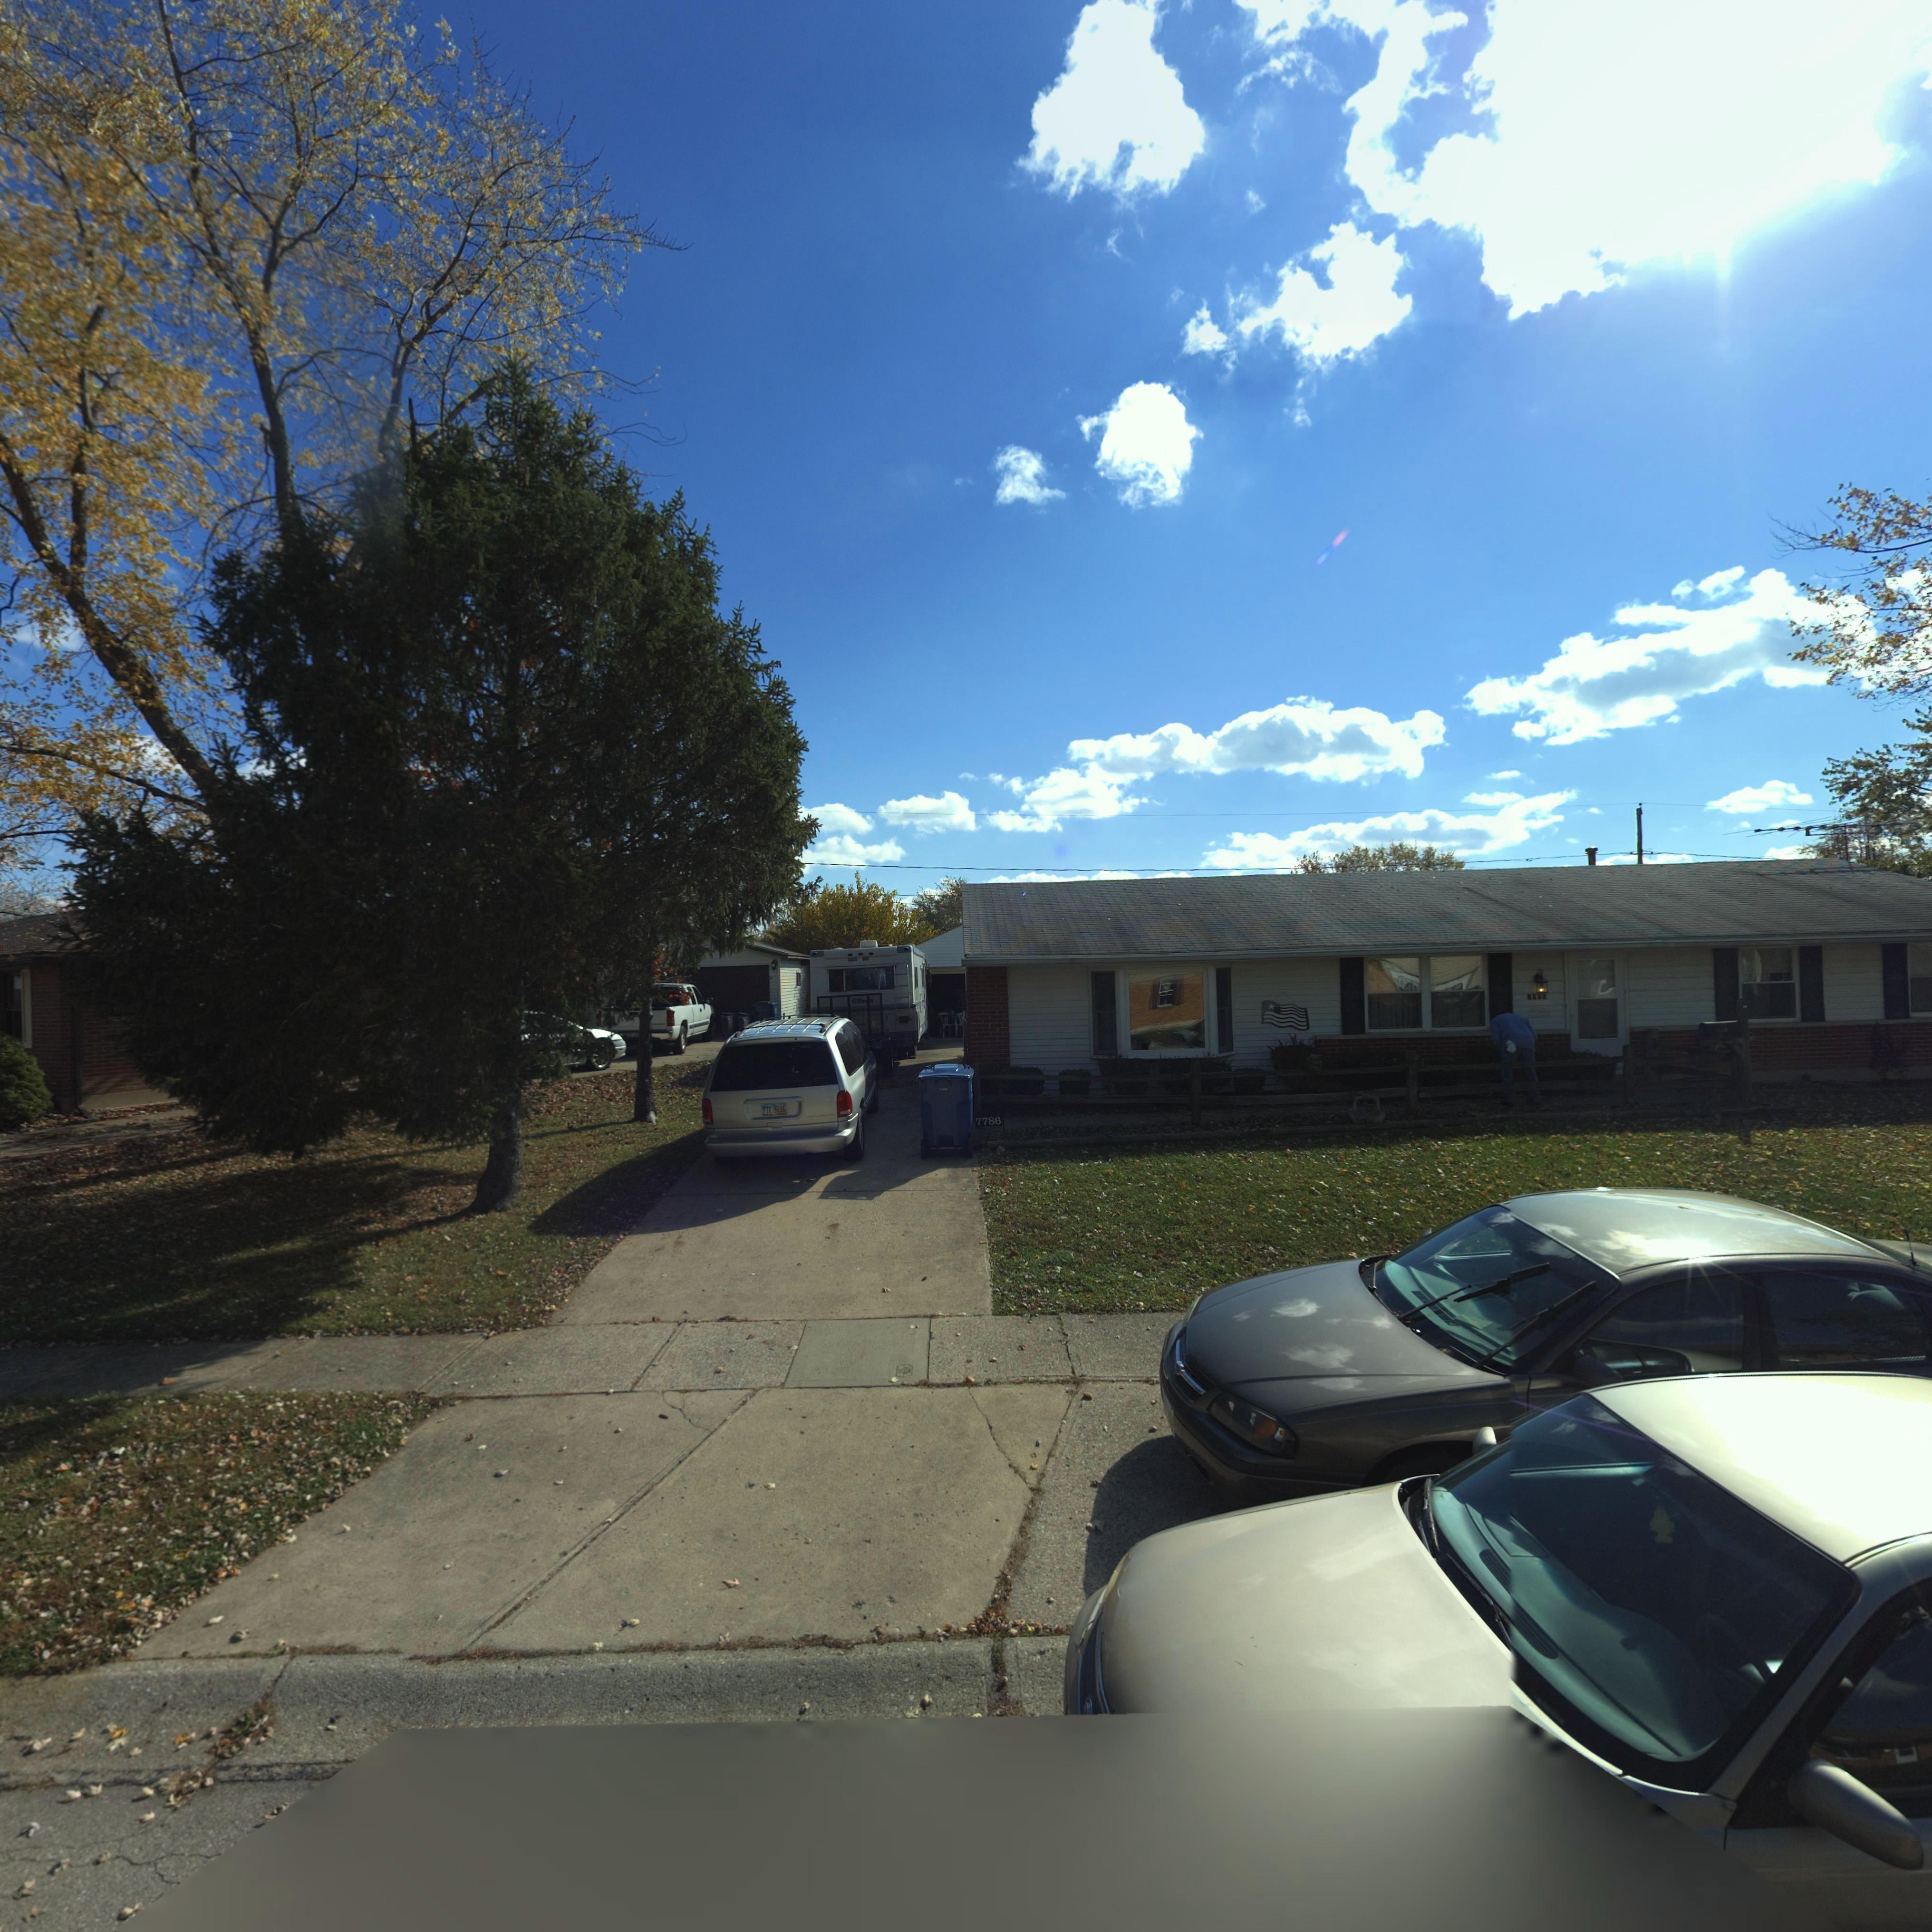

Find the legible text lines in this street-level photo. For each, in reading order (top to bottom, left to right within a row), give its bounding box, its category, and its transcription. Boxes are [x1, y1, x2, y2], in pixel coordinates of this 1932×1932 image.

[975, 1116, 1002, 1126] StreetNumber: 7786